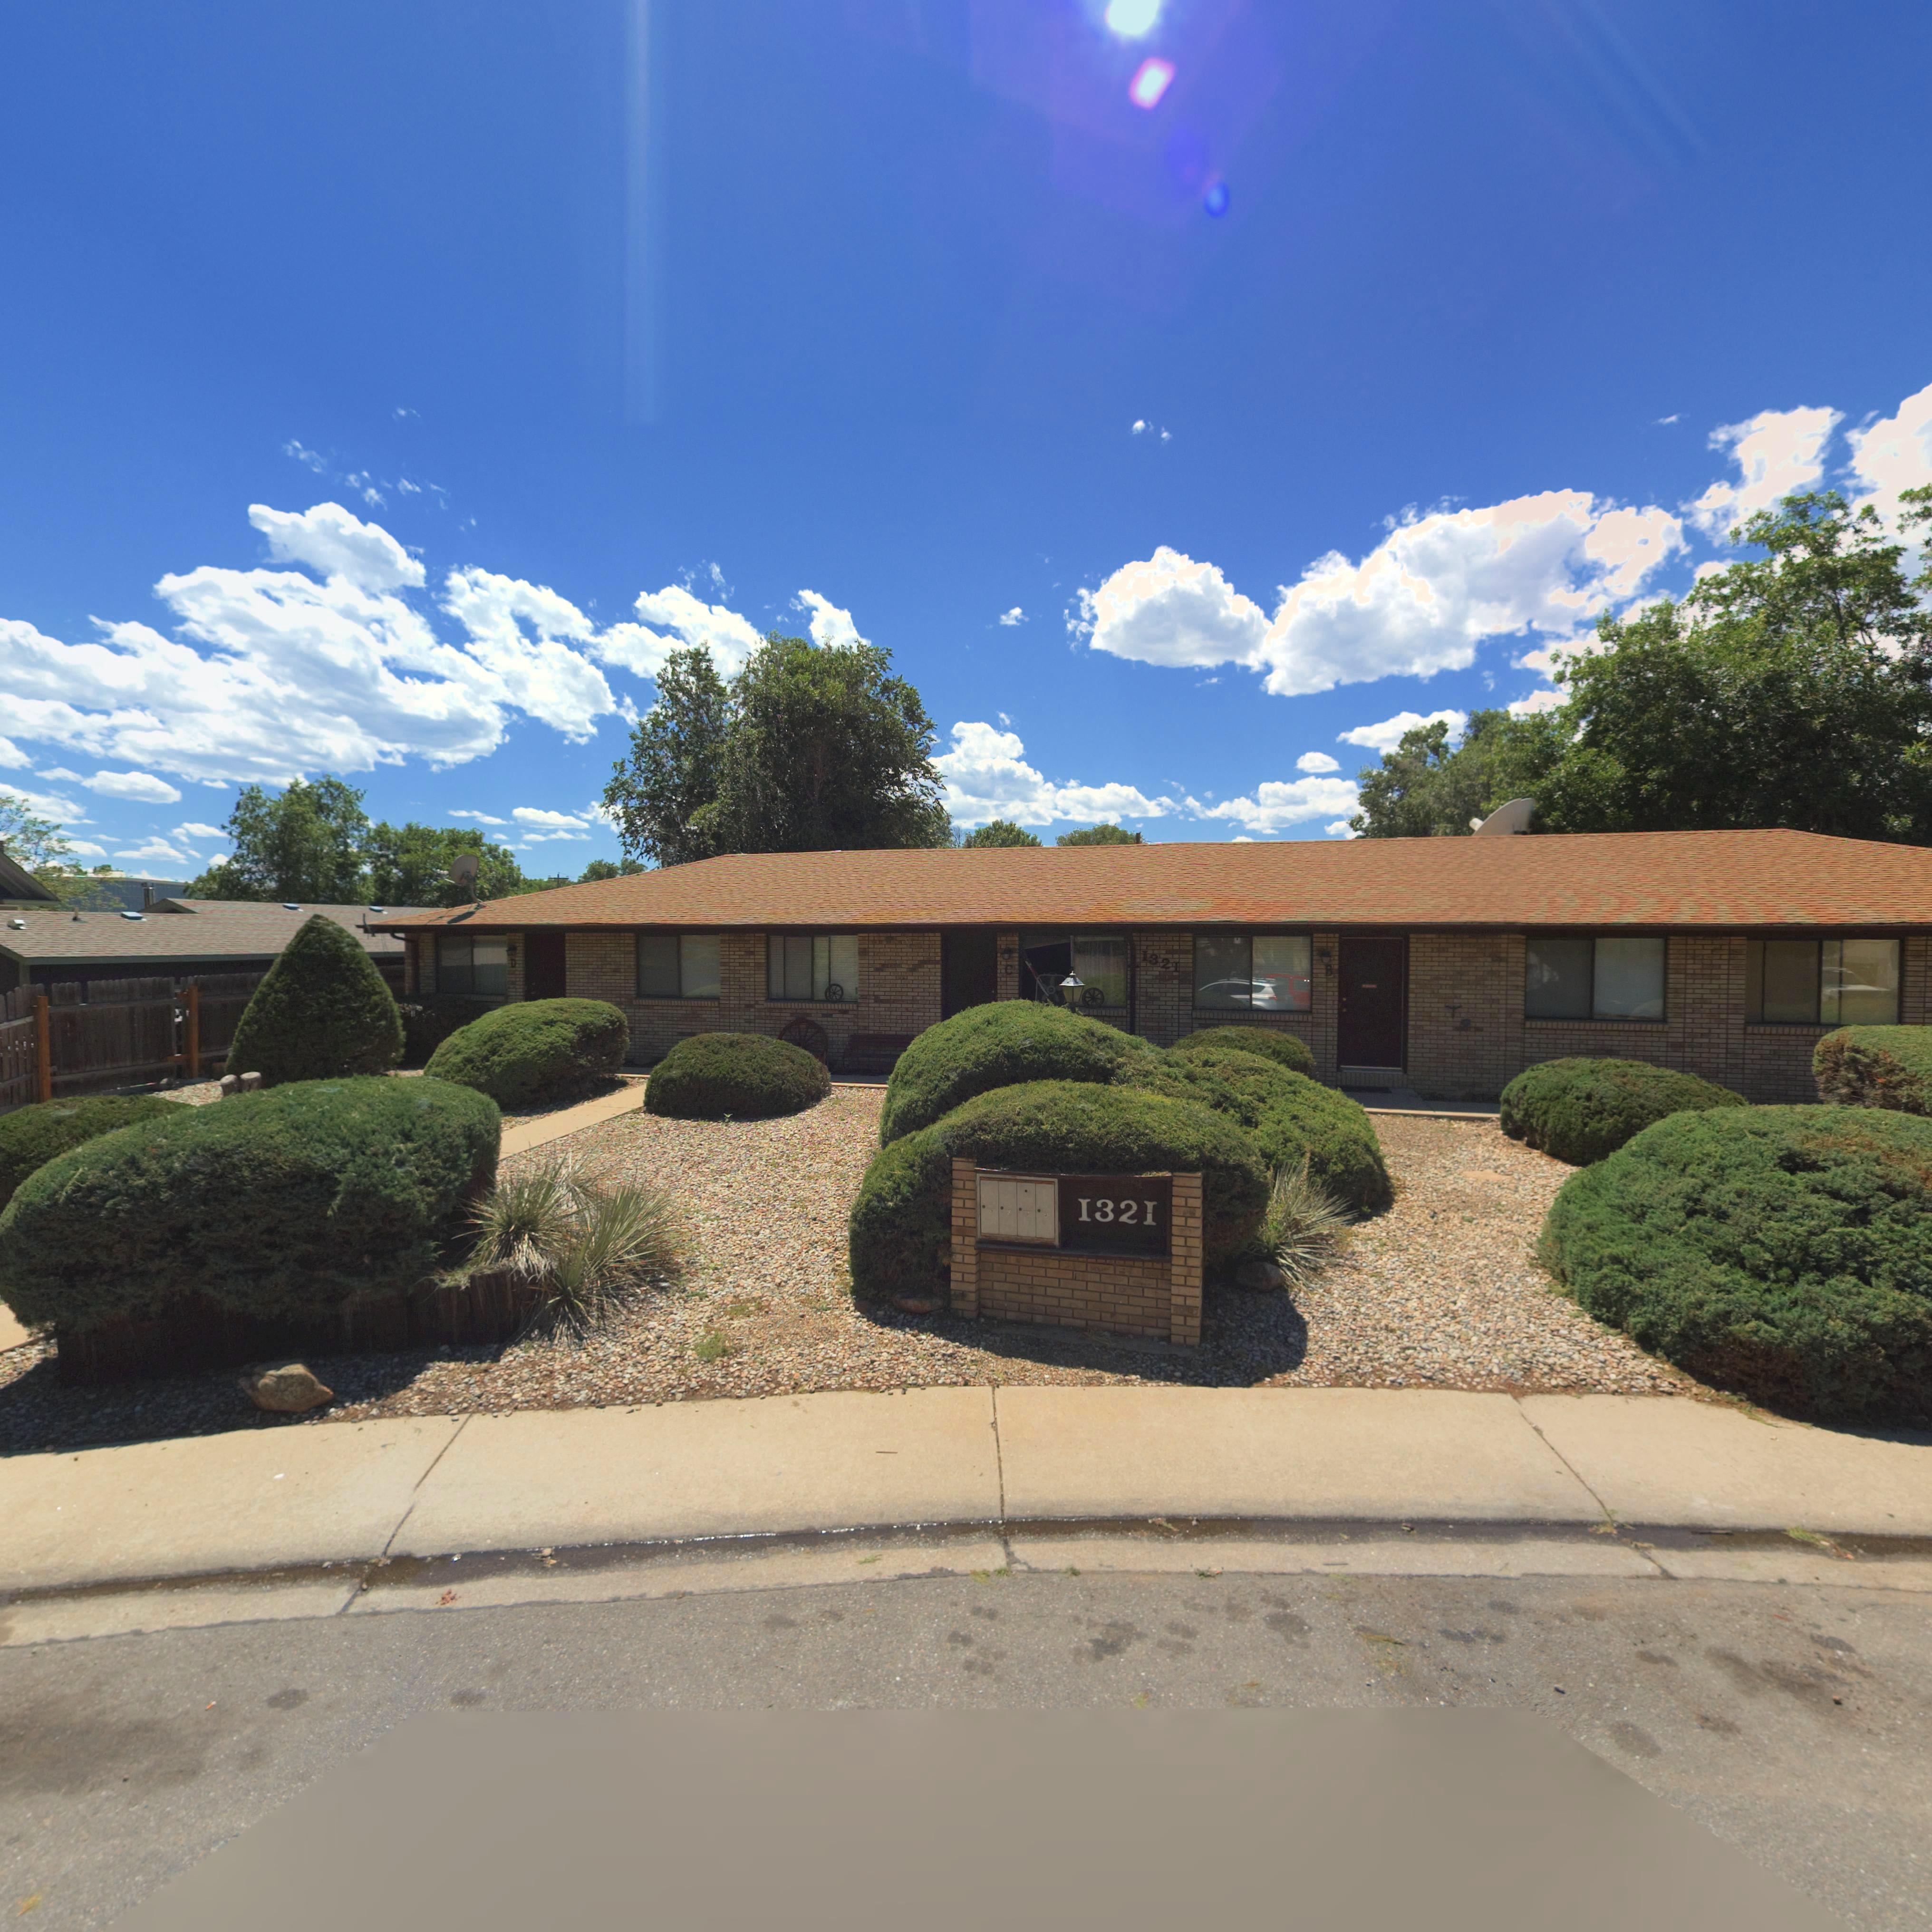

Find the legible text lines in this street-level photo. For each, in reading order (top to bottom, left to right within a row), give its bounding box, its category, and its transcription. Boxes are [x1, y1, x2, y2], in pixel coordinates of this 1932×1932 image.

[1140, 949, 1179, 973] StreetNumber: 1321
[1077, 1198, 1157, 1226] StreetNumber: 1321